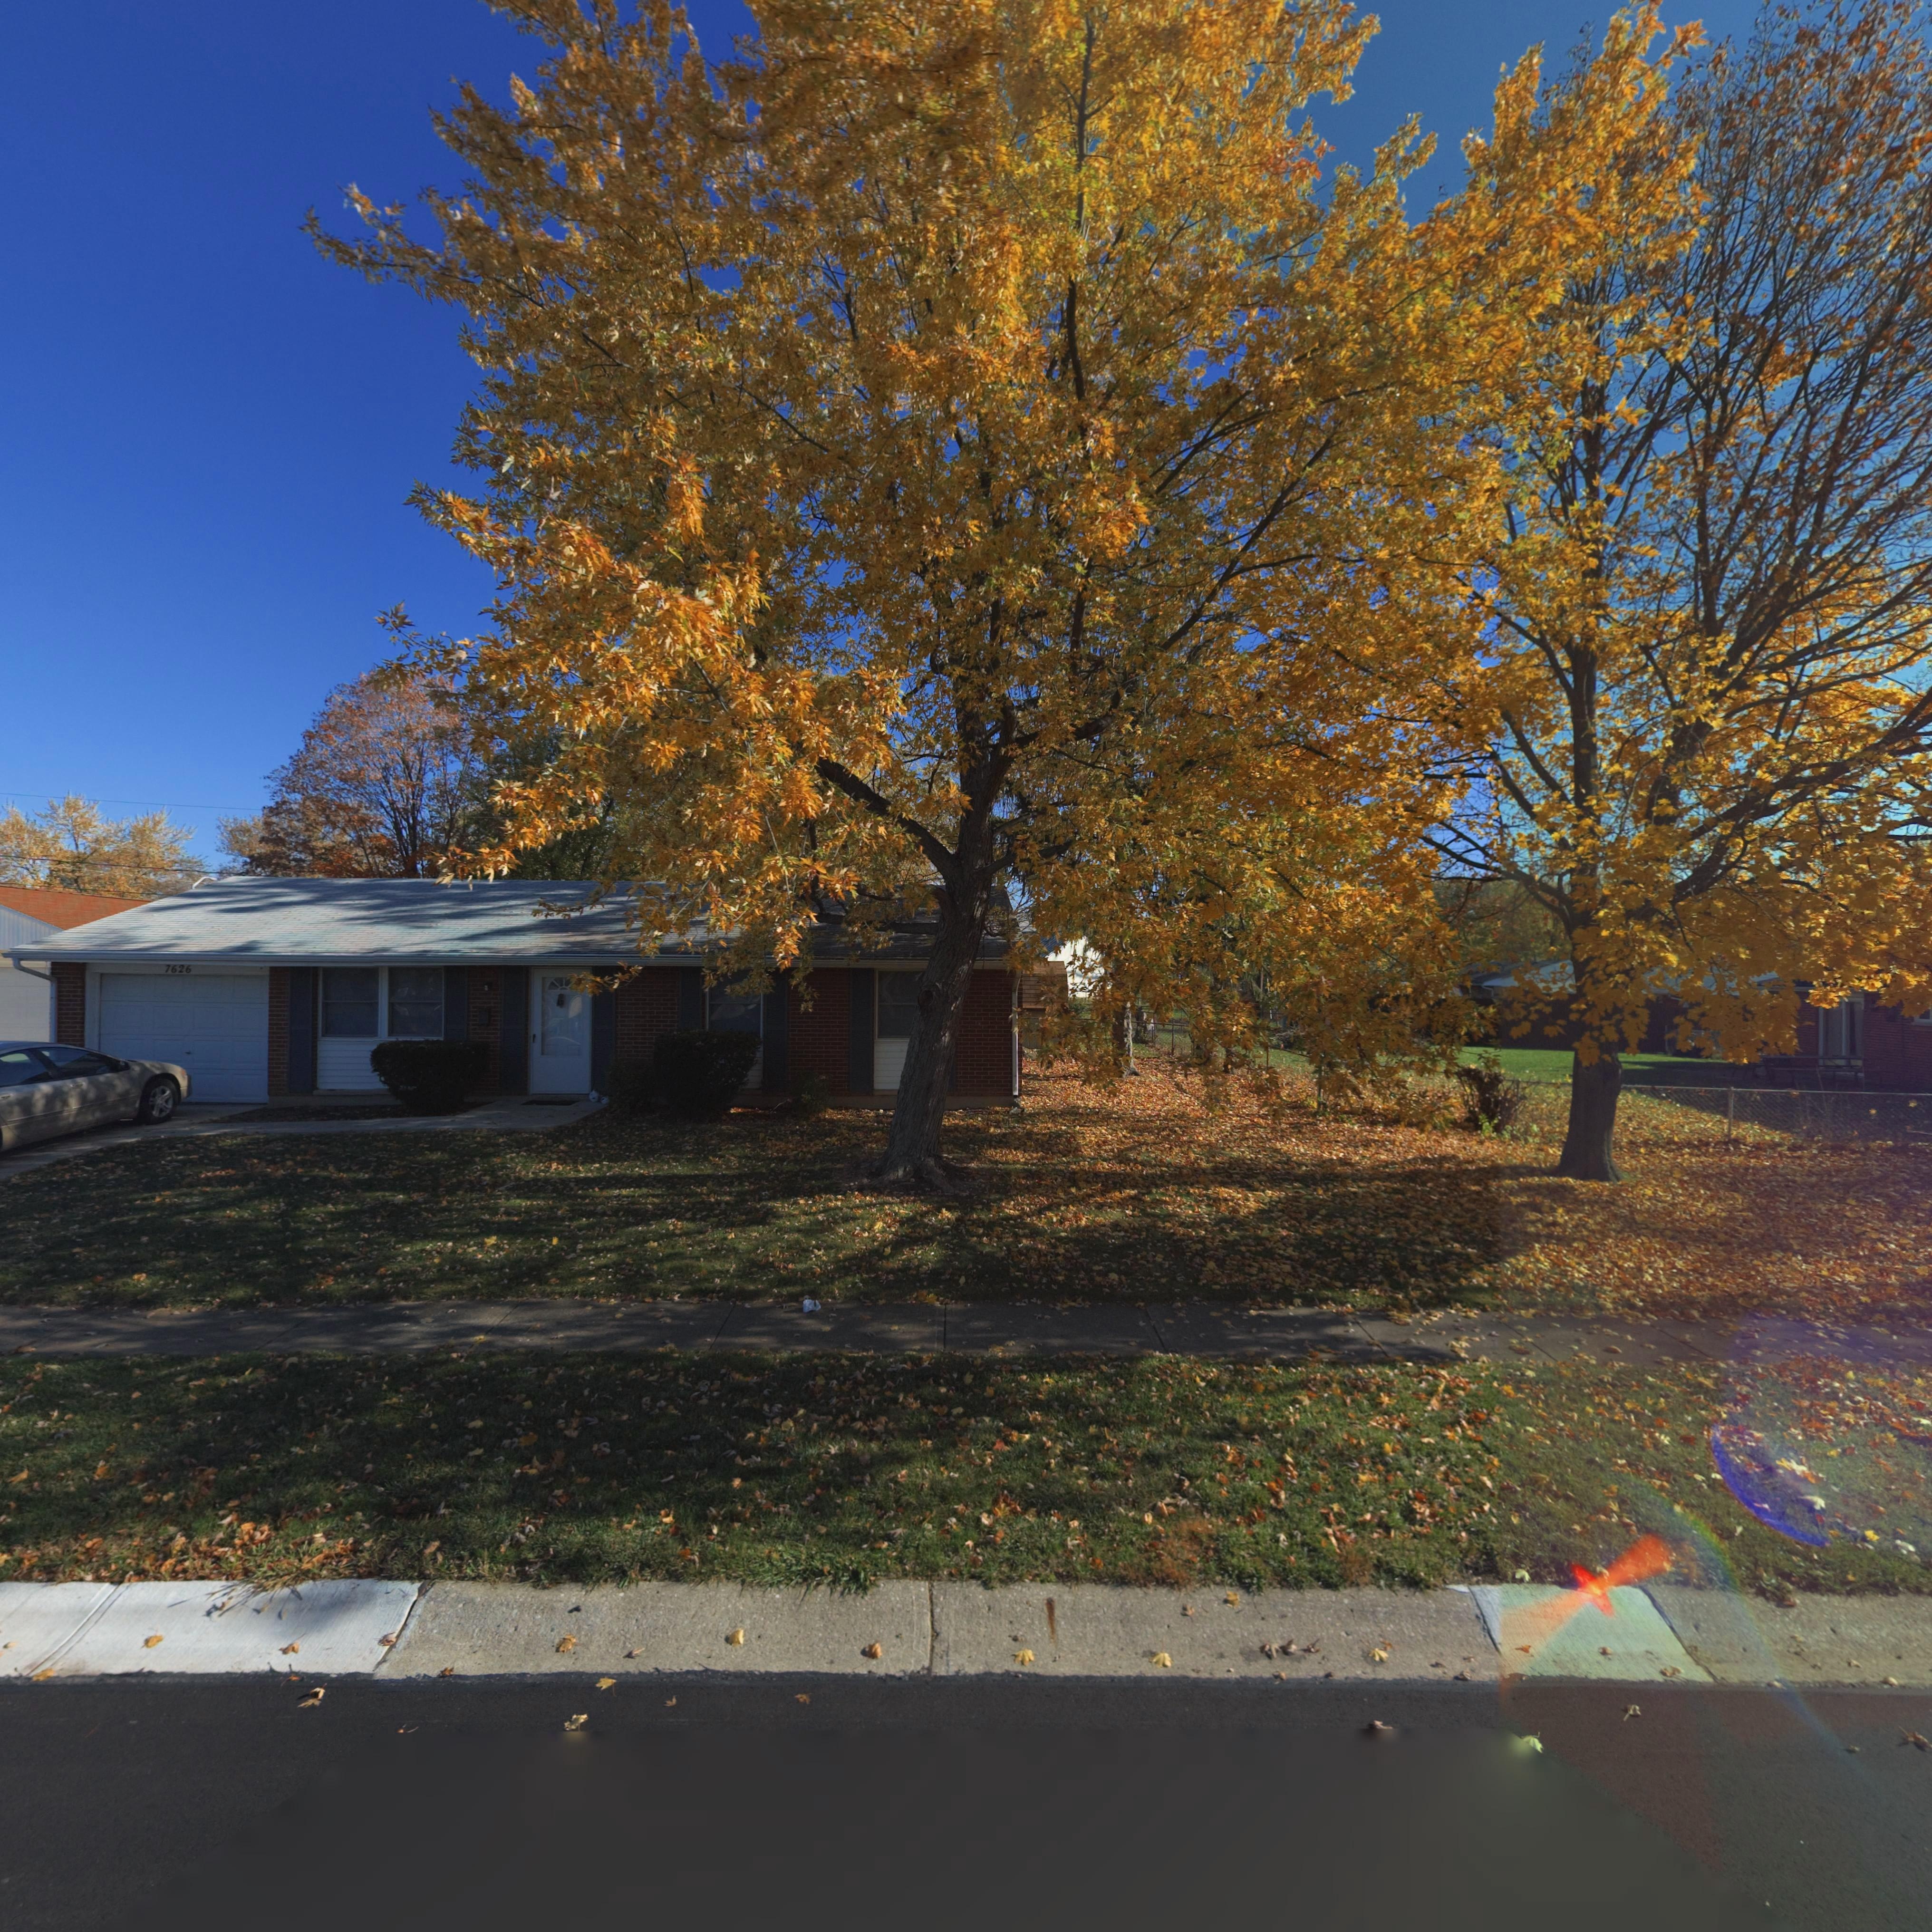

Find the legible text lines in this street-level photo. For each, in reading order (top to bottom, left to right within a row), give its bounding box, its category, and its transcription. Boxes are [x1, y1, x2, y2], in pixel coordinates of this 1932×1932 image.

[164, 964, 193, 975] StreetNumber: 7626